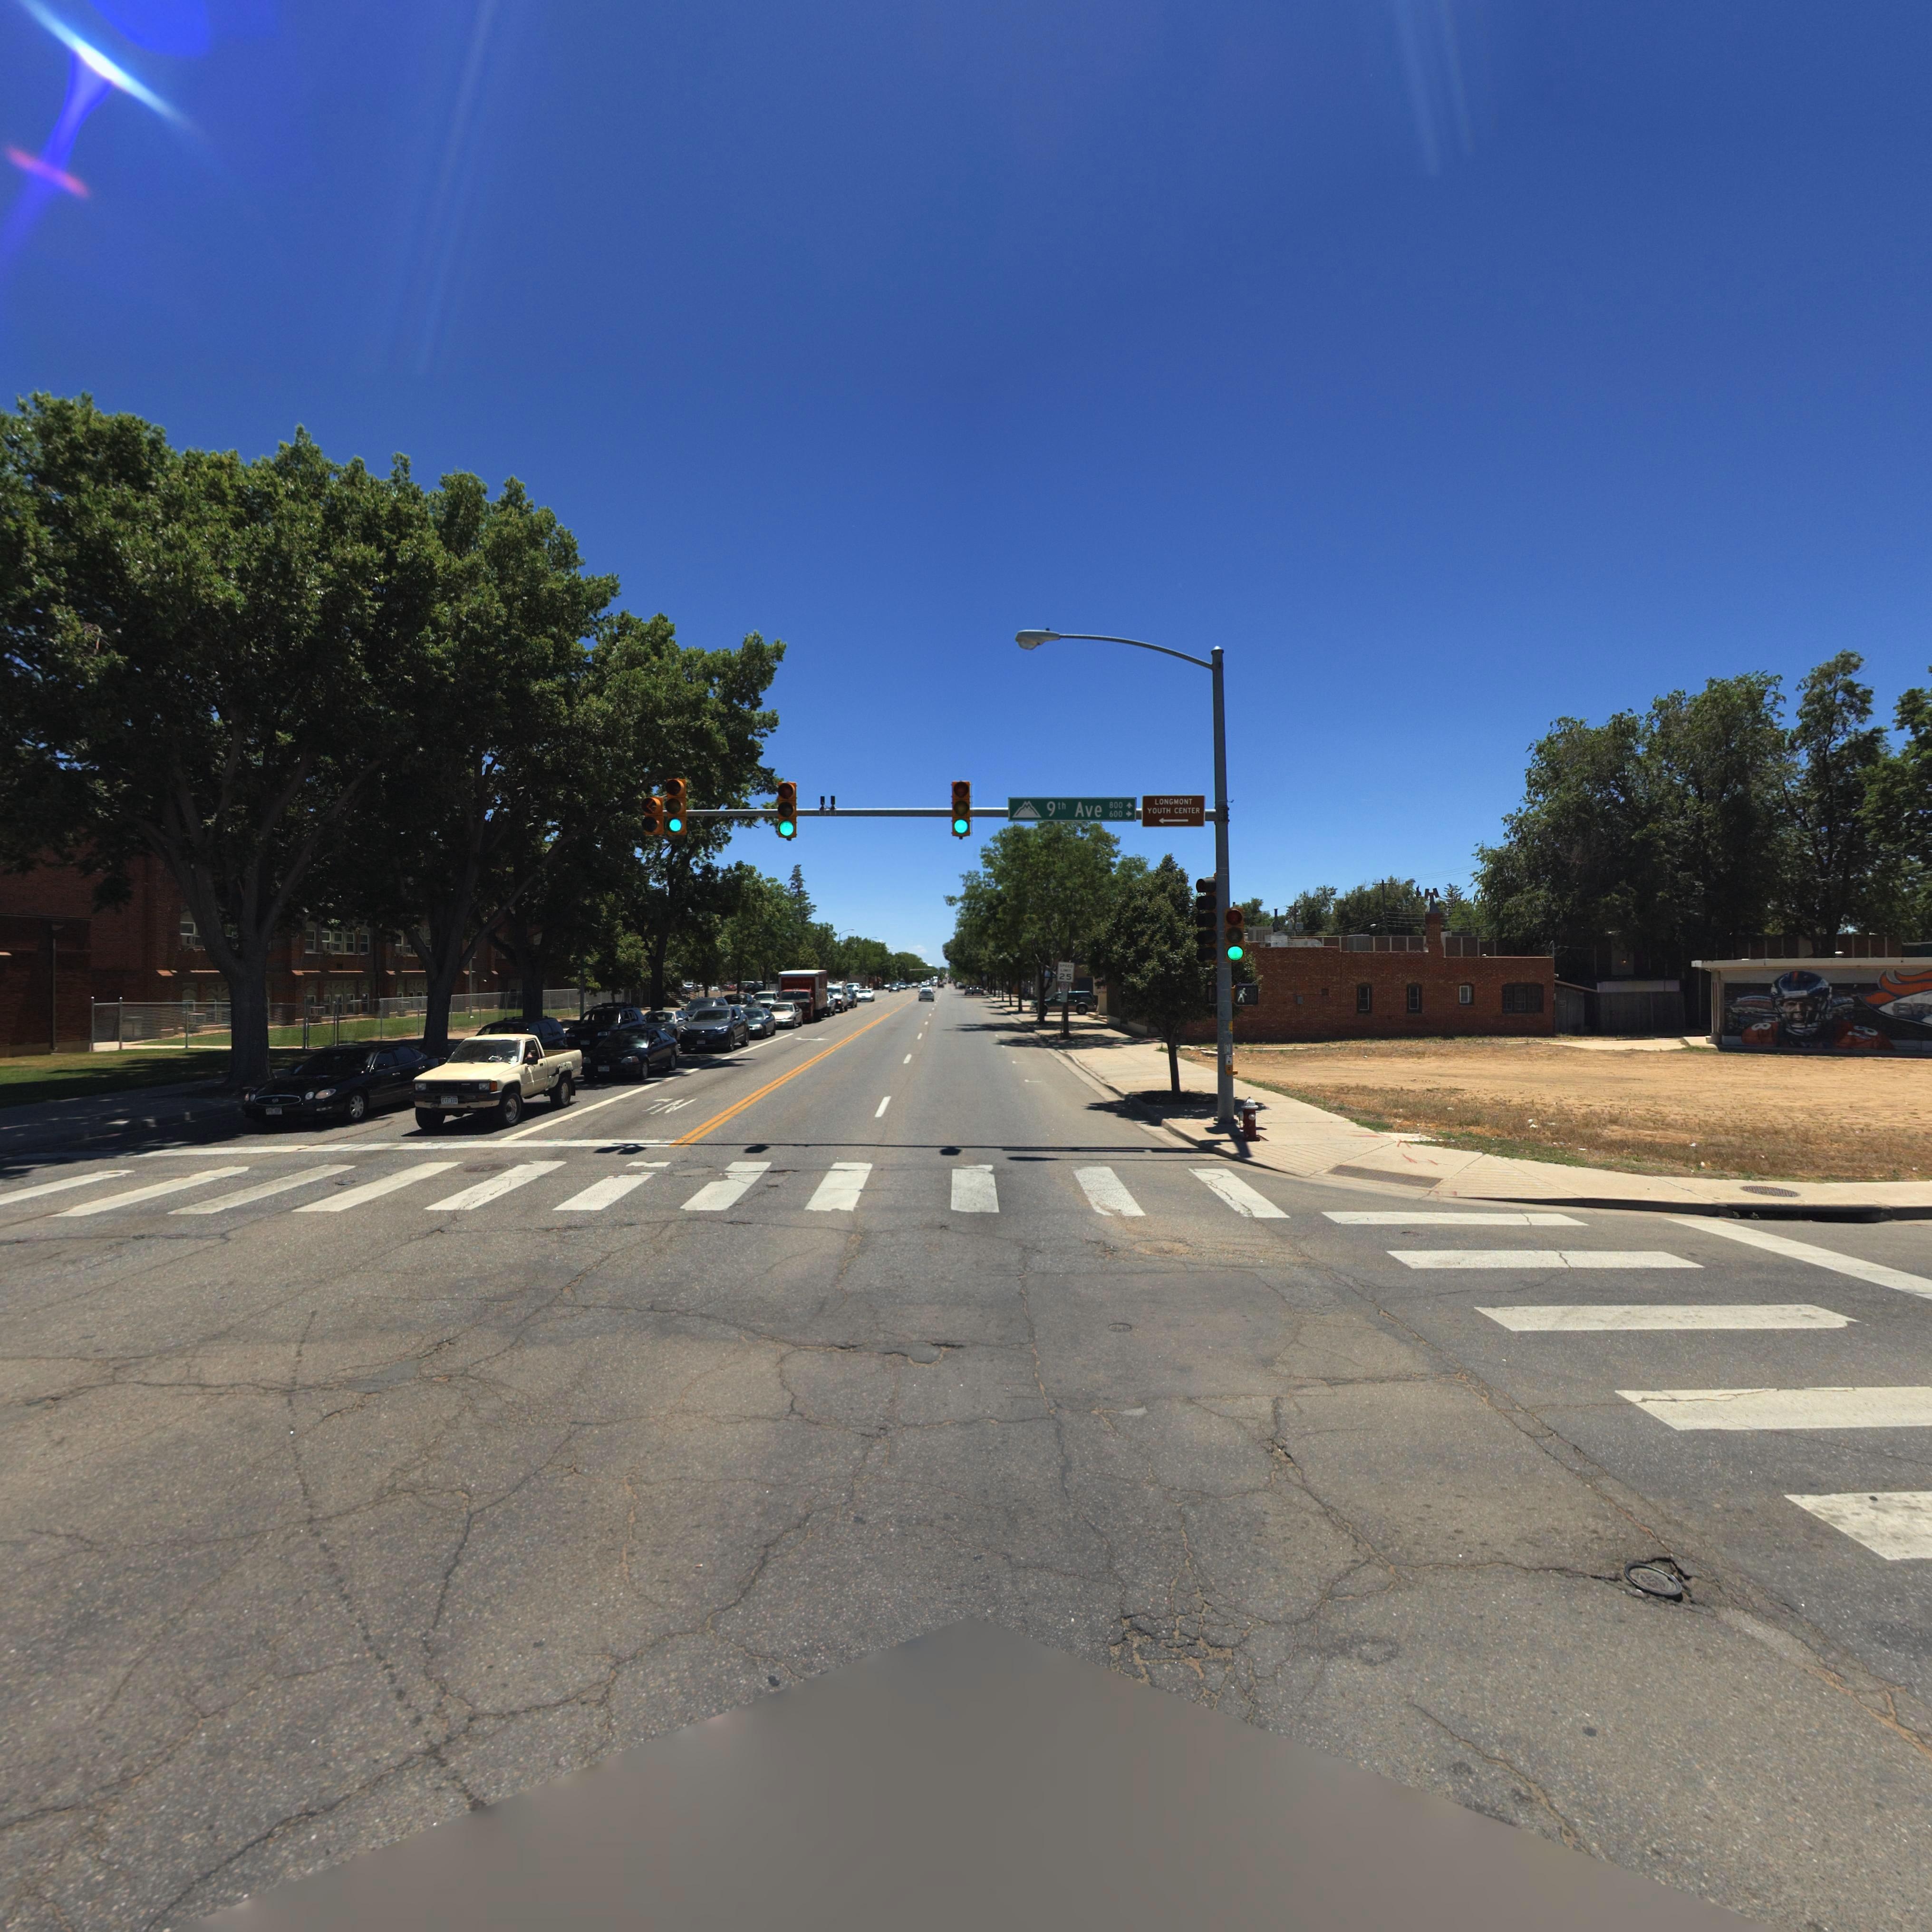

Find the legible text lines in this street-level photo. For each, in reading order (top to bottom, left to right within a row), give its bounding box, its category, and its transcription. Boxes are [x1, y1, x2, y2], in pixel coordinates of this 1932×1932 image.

[1109, 801, 1123, 809] StreetNumberRange: 800
[1046, 801, 1102, 817] StreetName: 9th Ave
[1109, 810, 1132, 817] StreetNumberRange: 600->